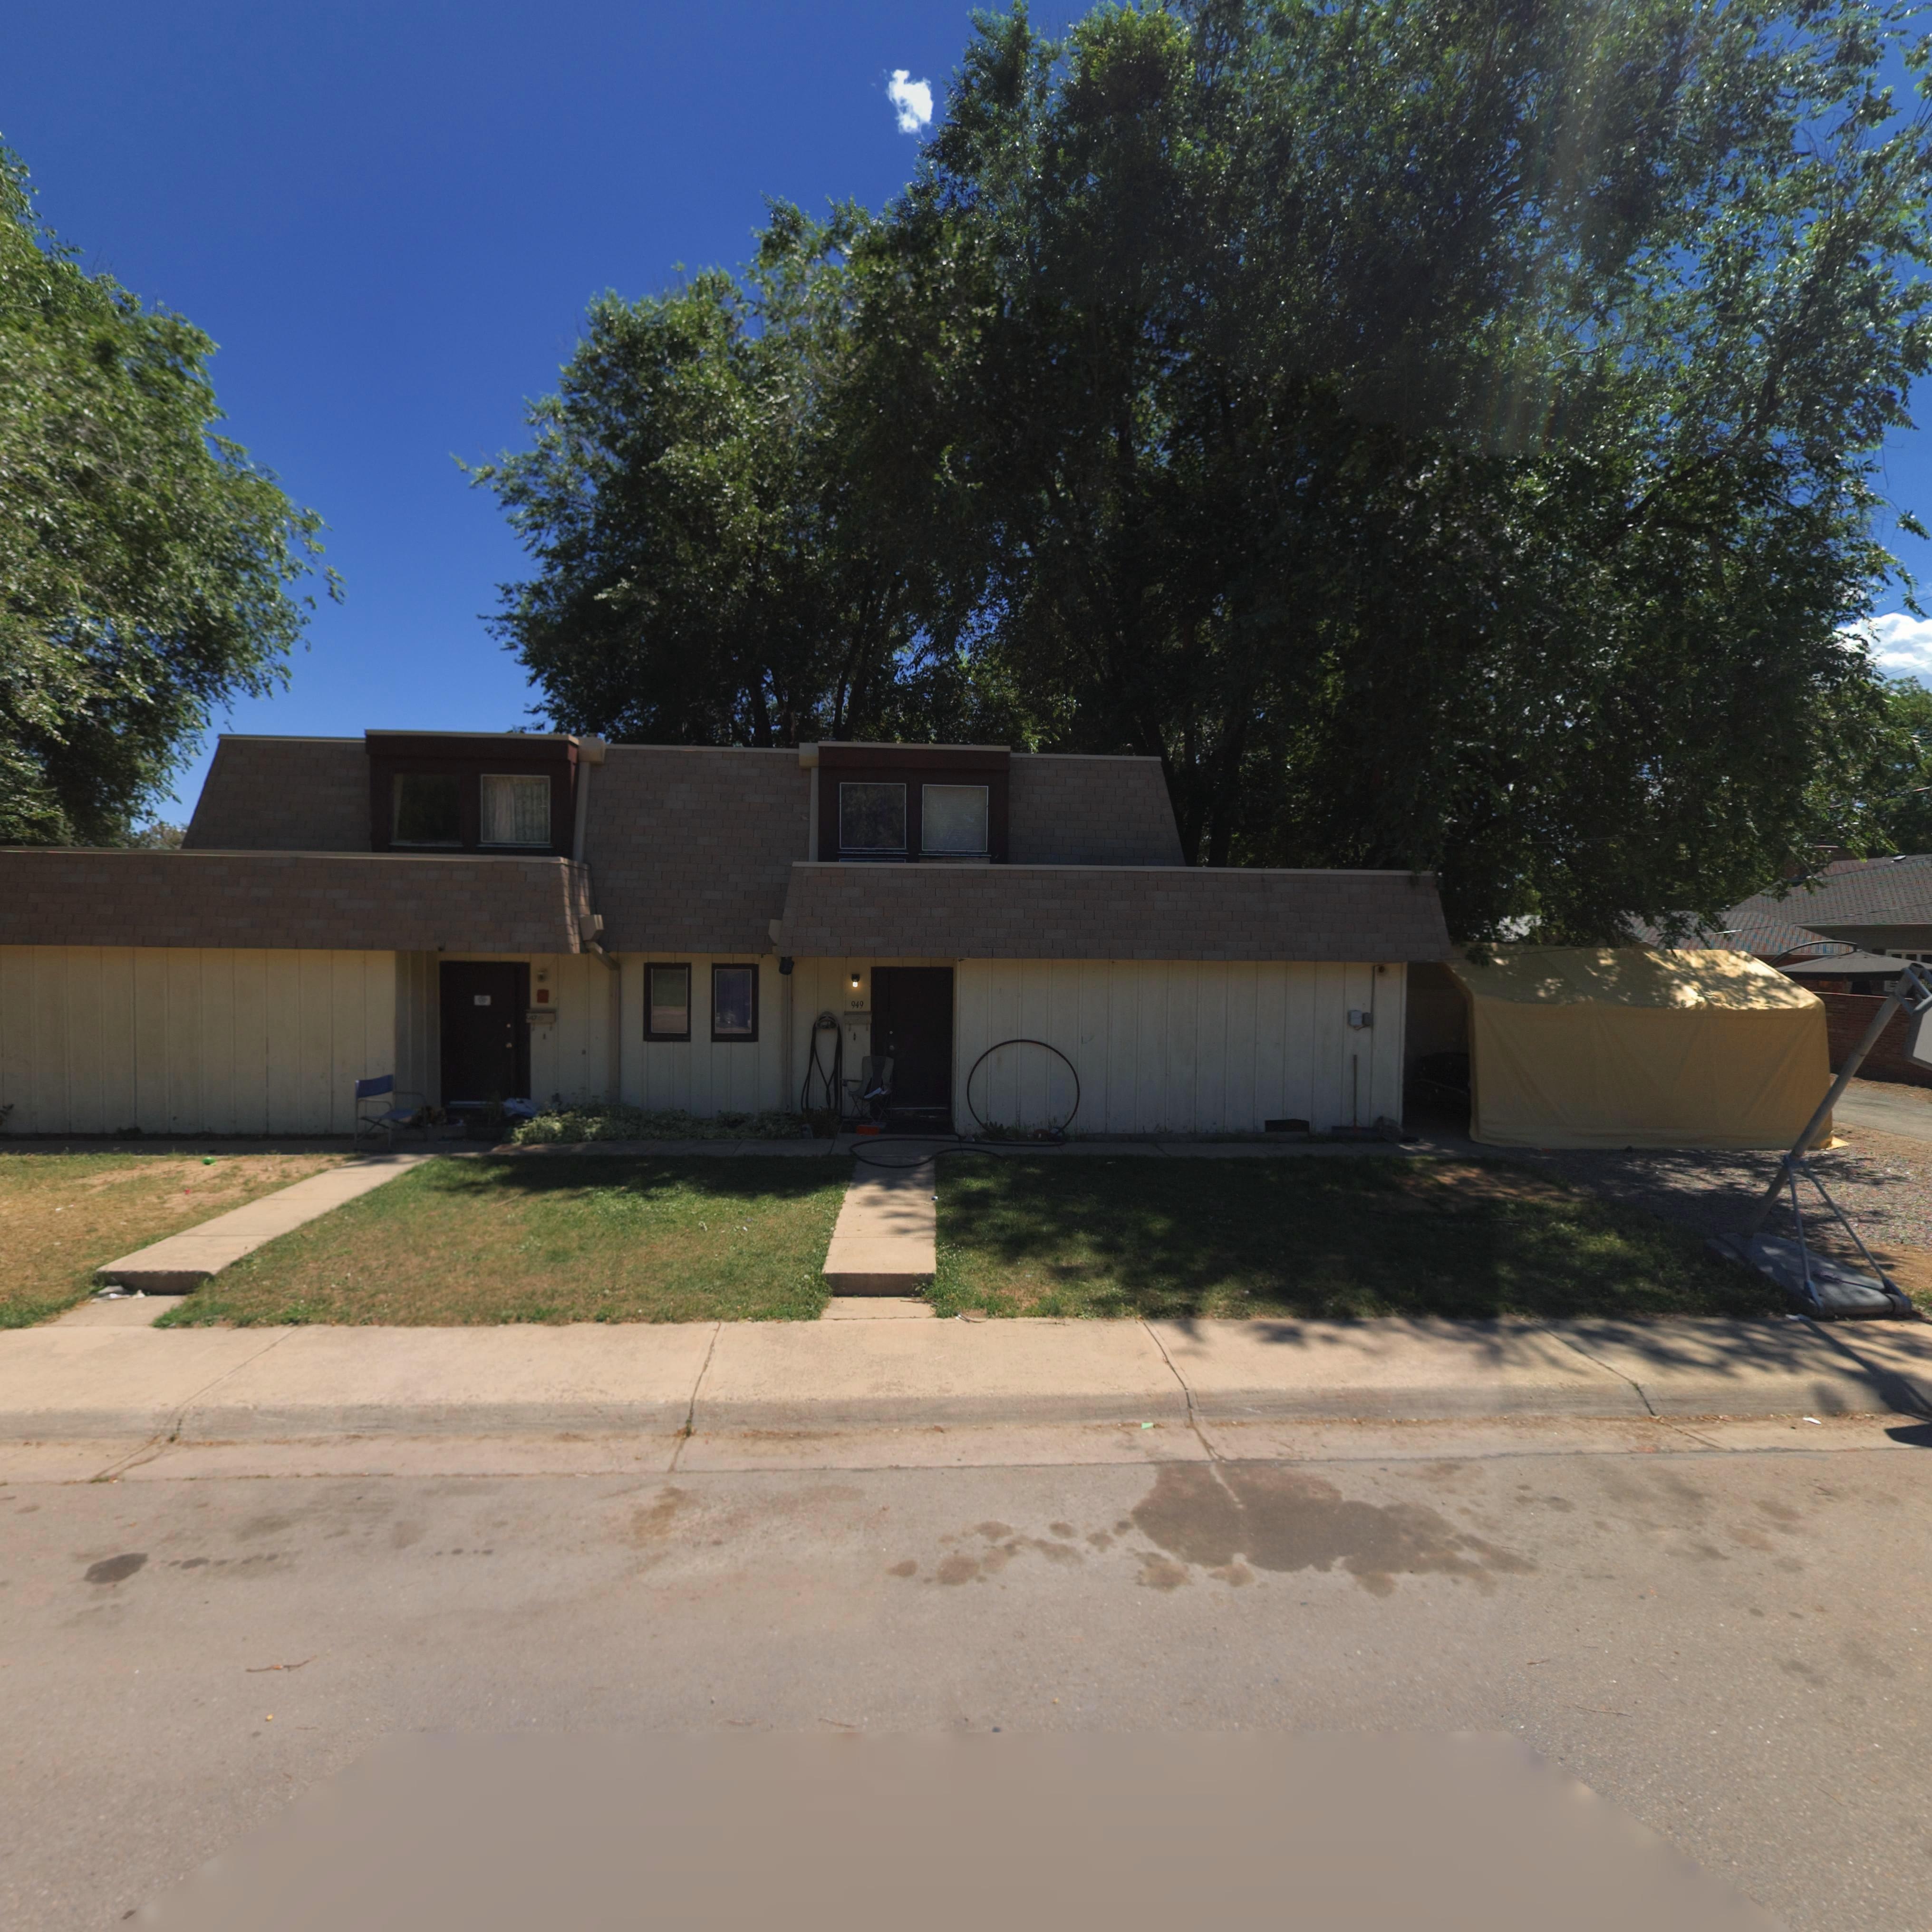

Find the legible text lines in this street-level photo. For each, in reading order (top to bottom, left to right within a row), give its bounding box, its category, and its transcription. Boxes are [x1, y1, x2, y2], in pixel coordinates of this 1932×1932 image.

[851, 1000, 863, 1009] StreetNumber: 949
[526, 1014, 538, 1021] StreetNumber: 9*7